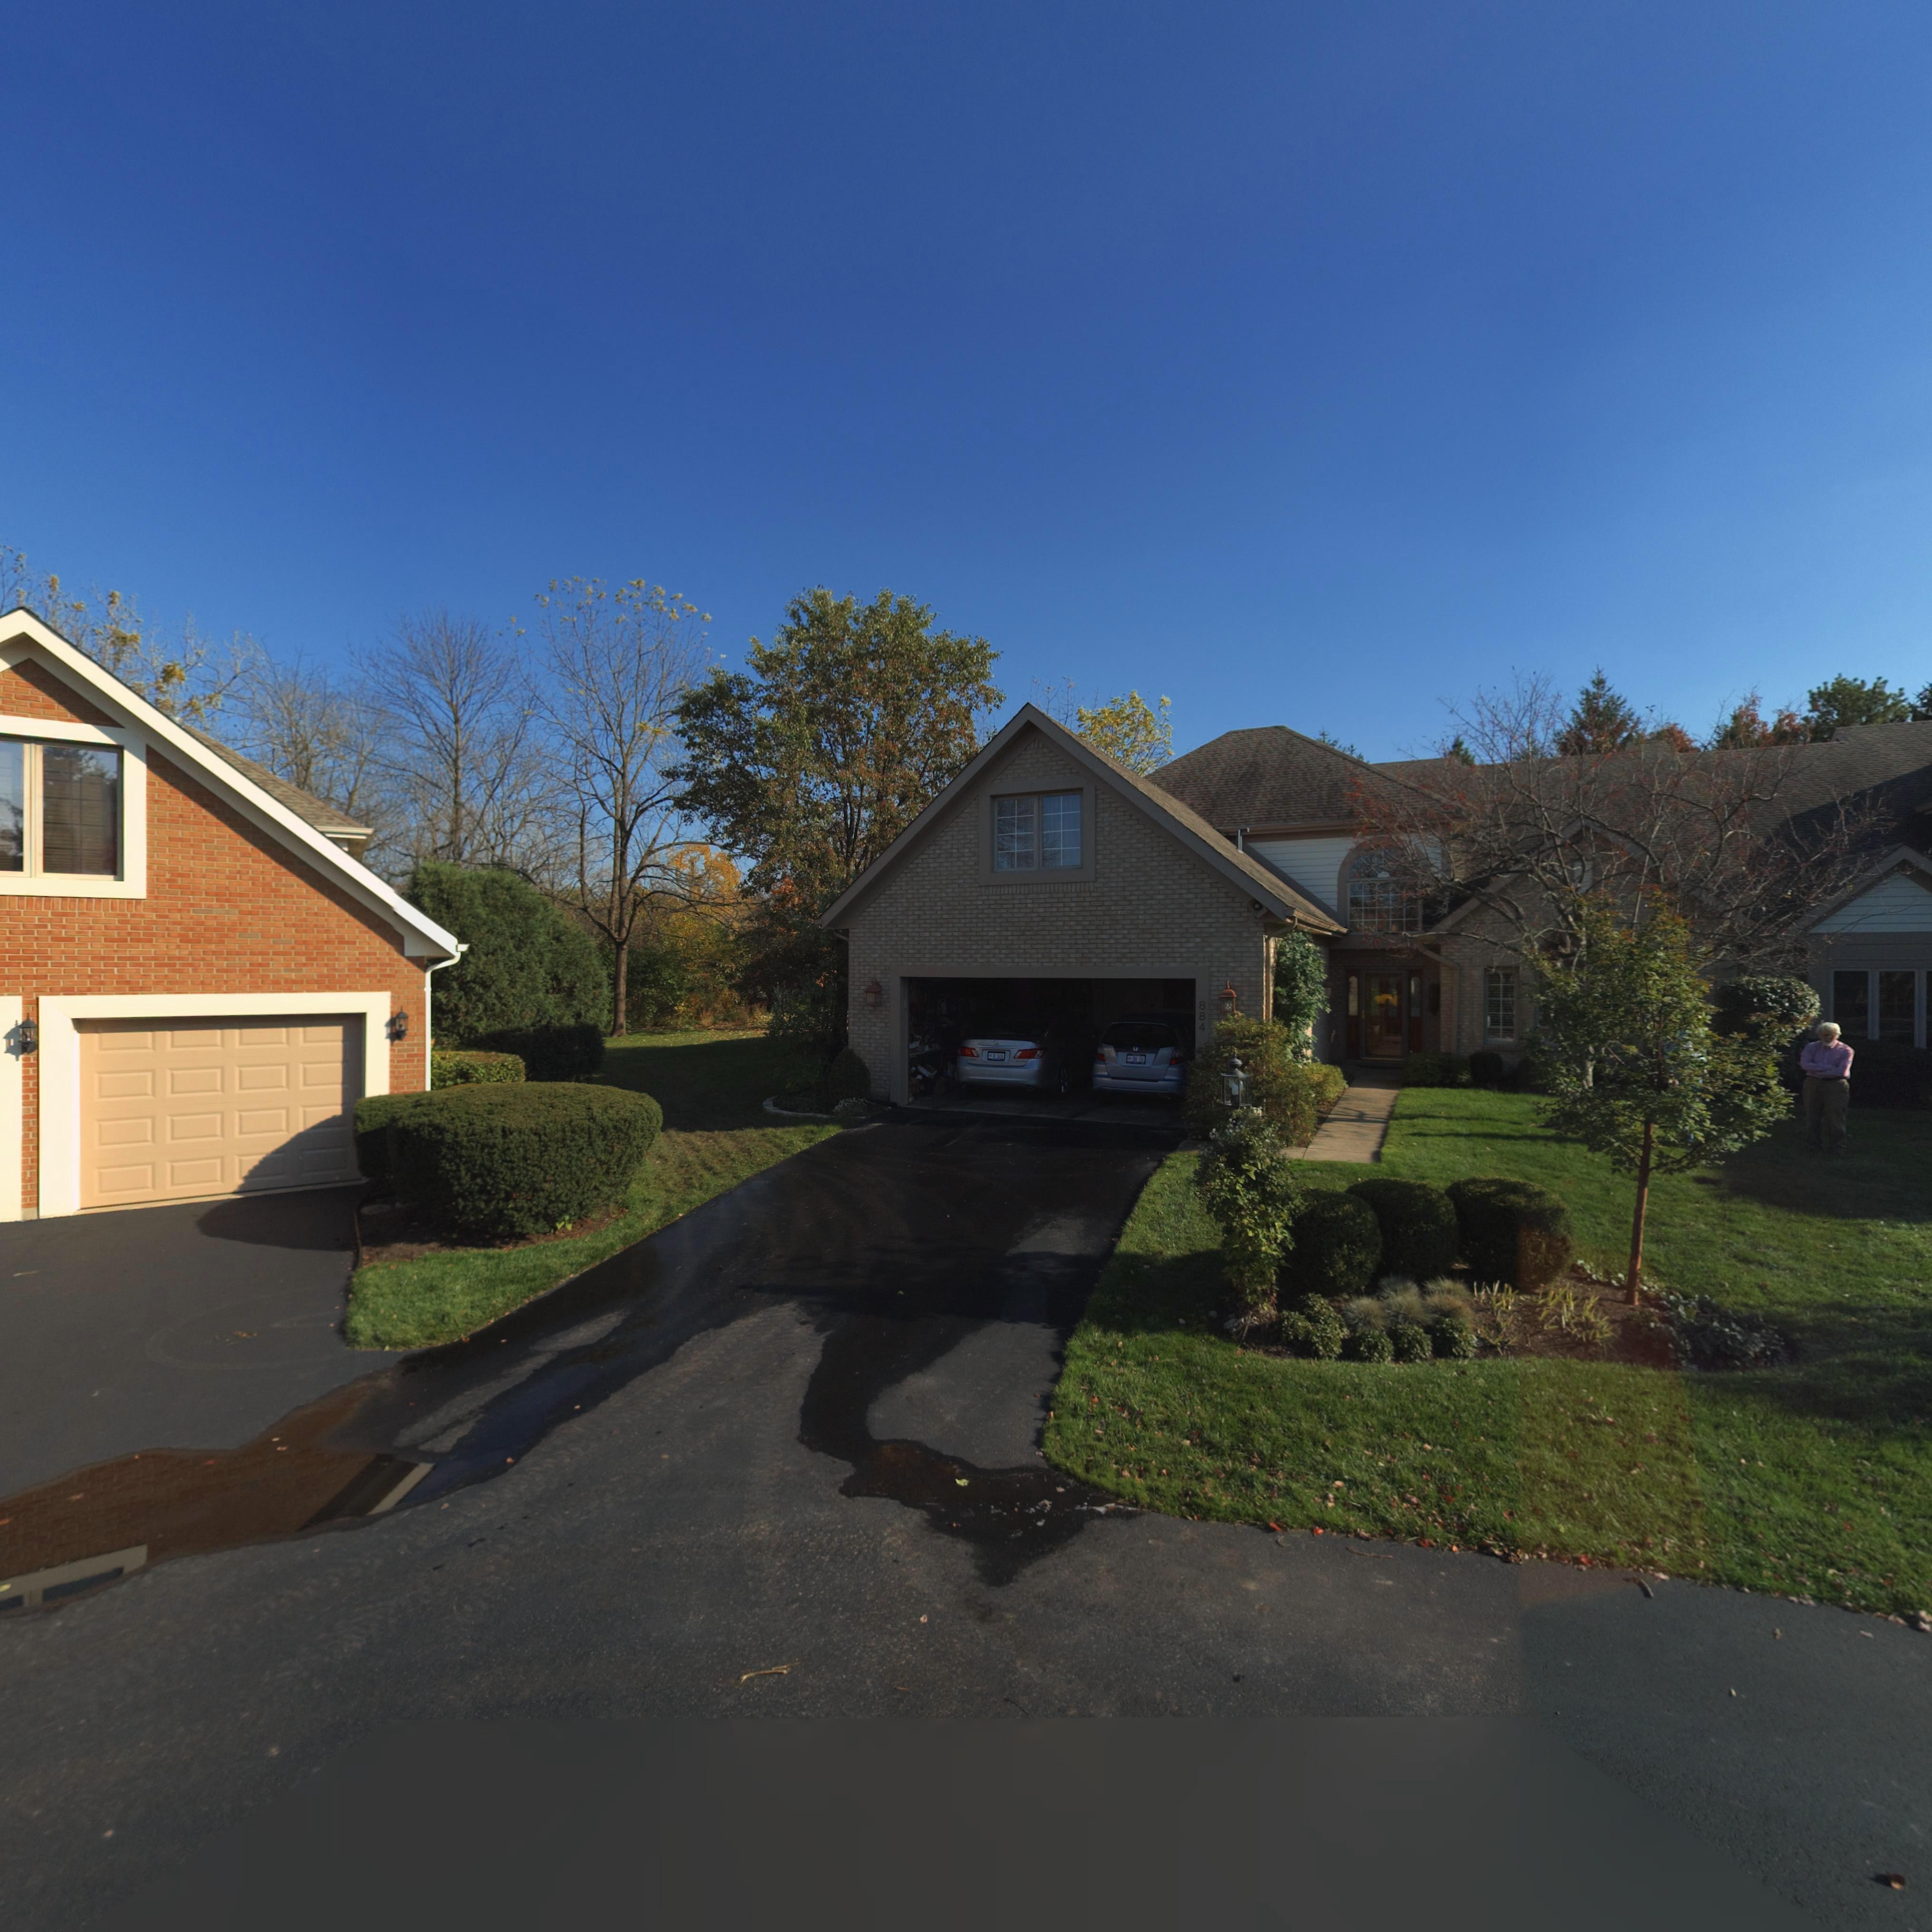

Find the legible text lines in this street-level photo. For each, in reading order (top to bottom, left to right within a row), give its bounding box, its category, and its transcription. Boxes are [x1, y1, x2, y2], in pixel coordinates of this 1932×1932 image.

[1198, 1000, 1207, 1033] StreetNumber: 884